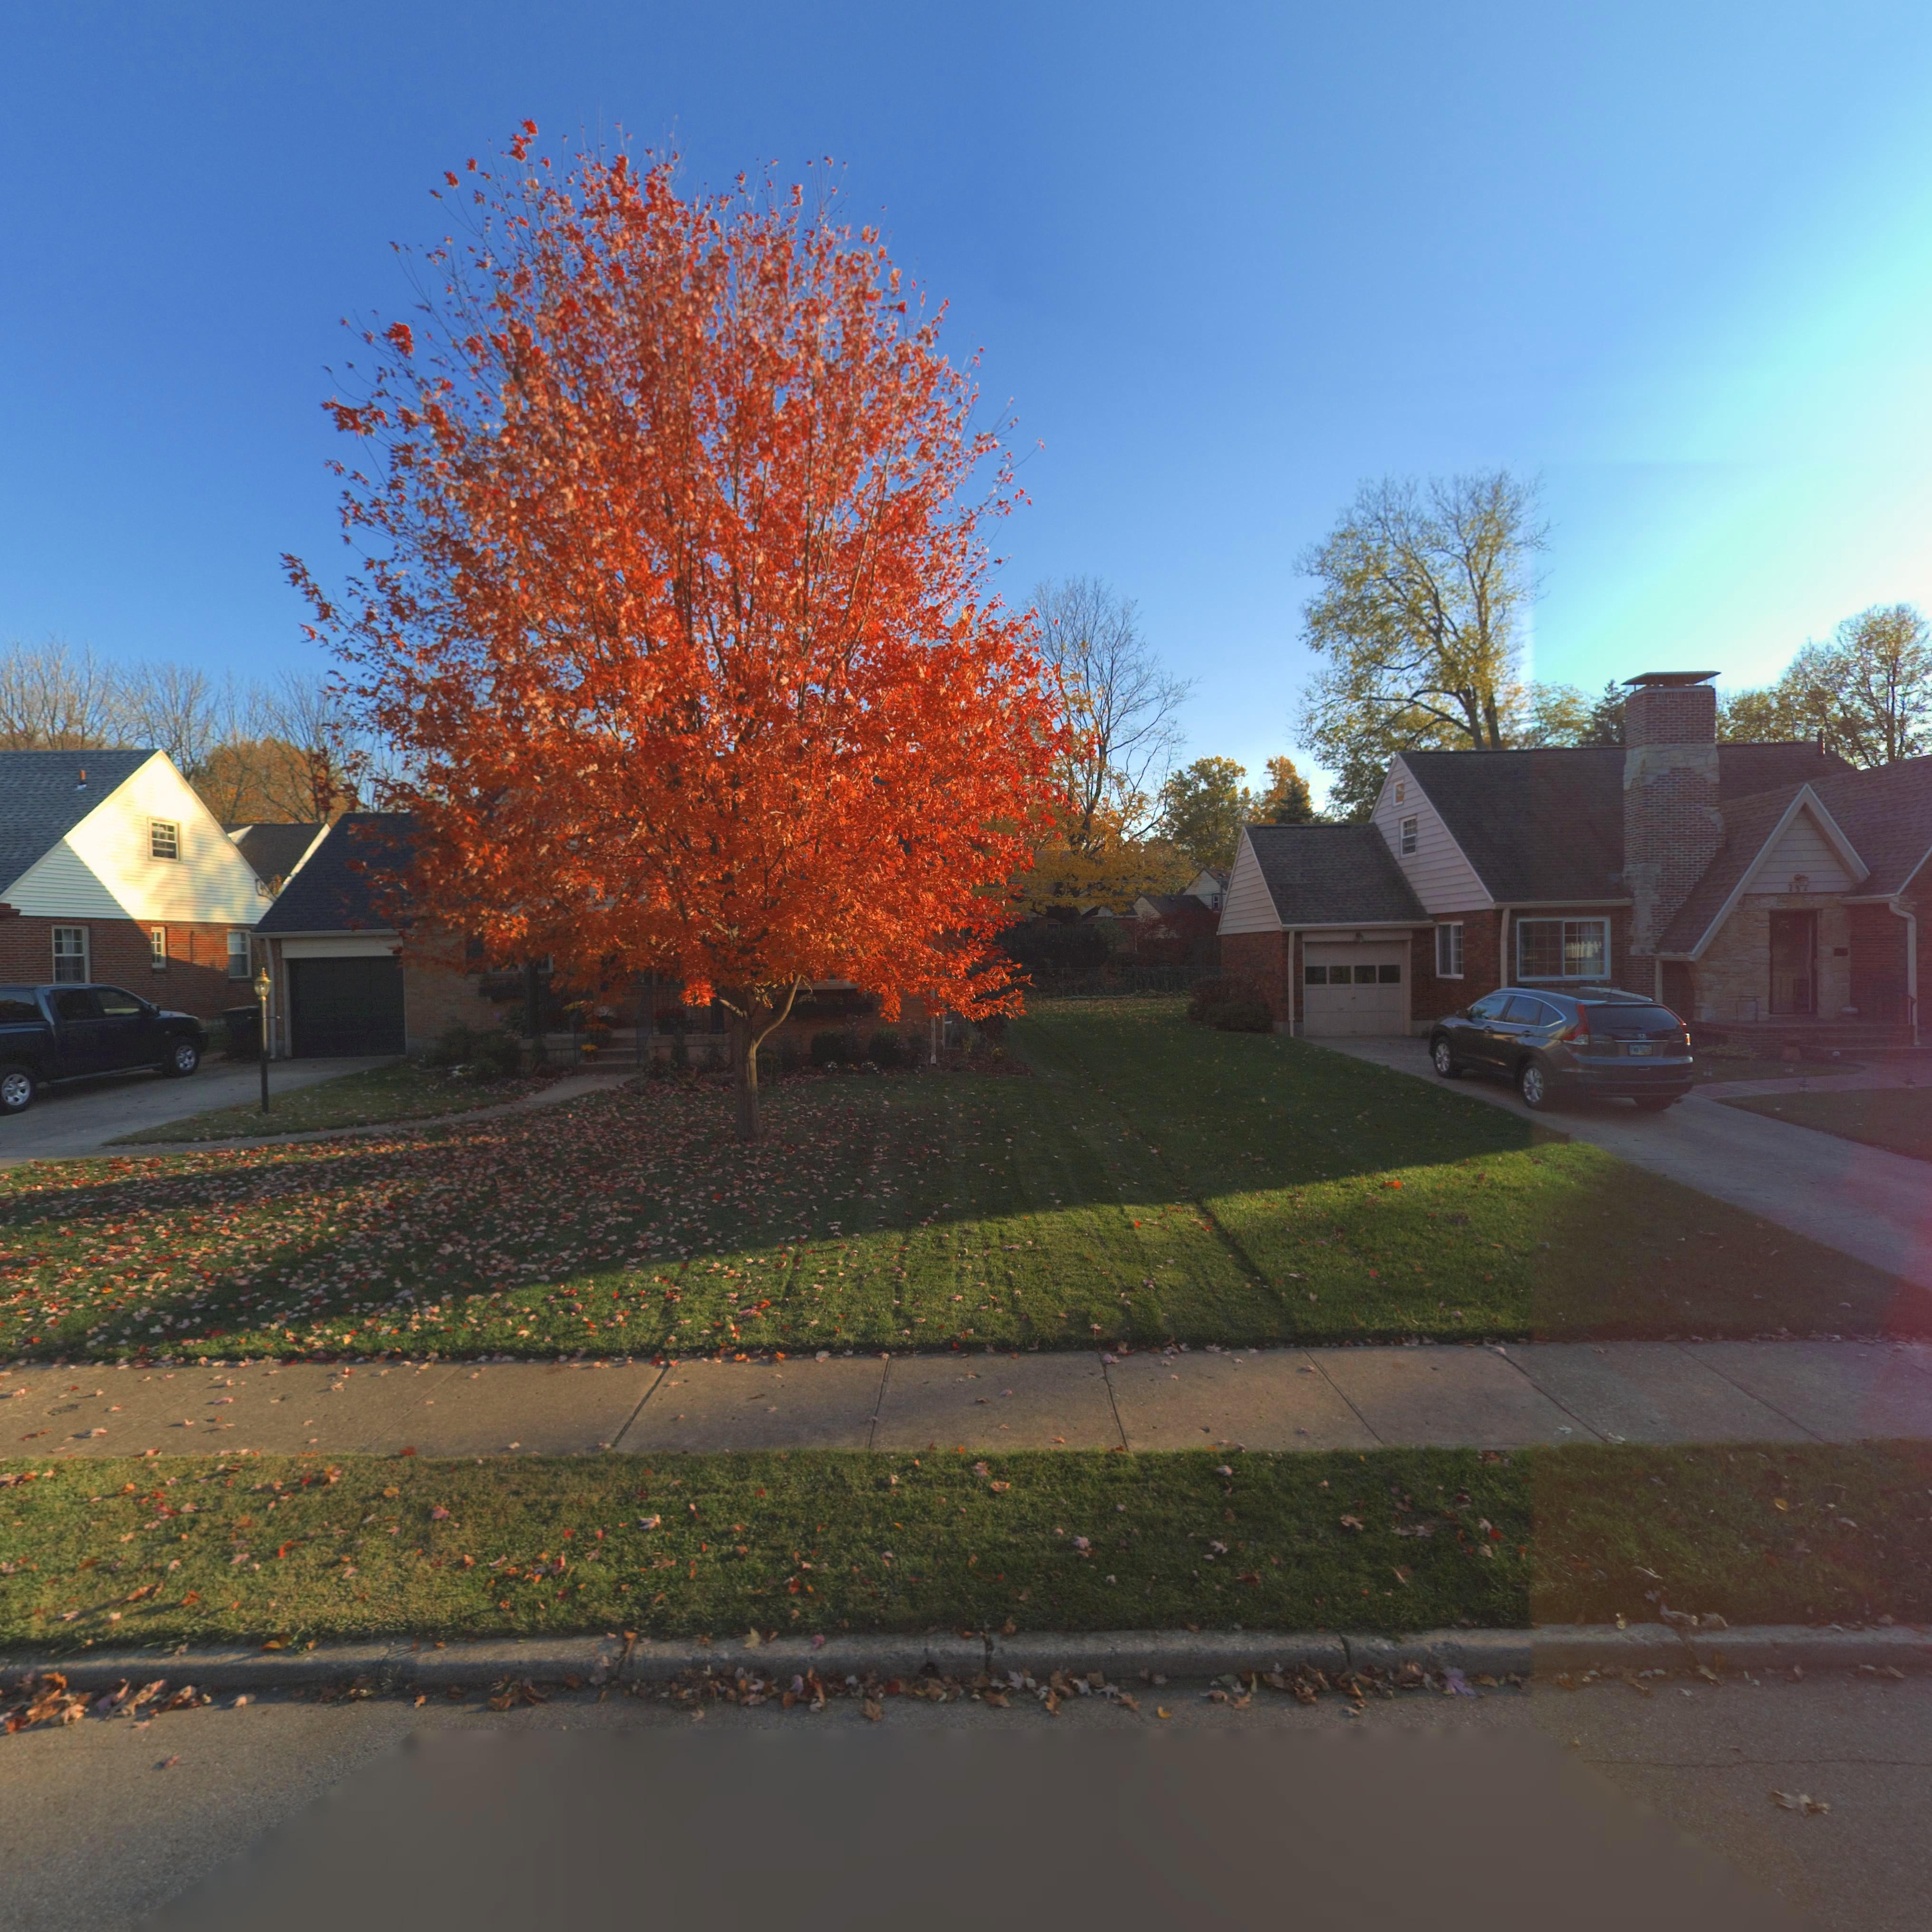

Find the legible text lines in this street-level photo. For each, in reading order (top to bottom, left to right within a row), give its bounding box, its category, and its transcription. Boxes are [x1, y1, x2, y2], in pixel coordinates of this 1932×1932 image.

[1787, 883, 1810, 893] StreetNumber: 23*